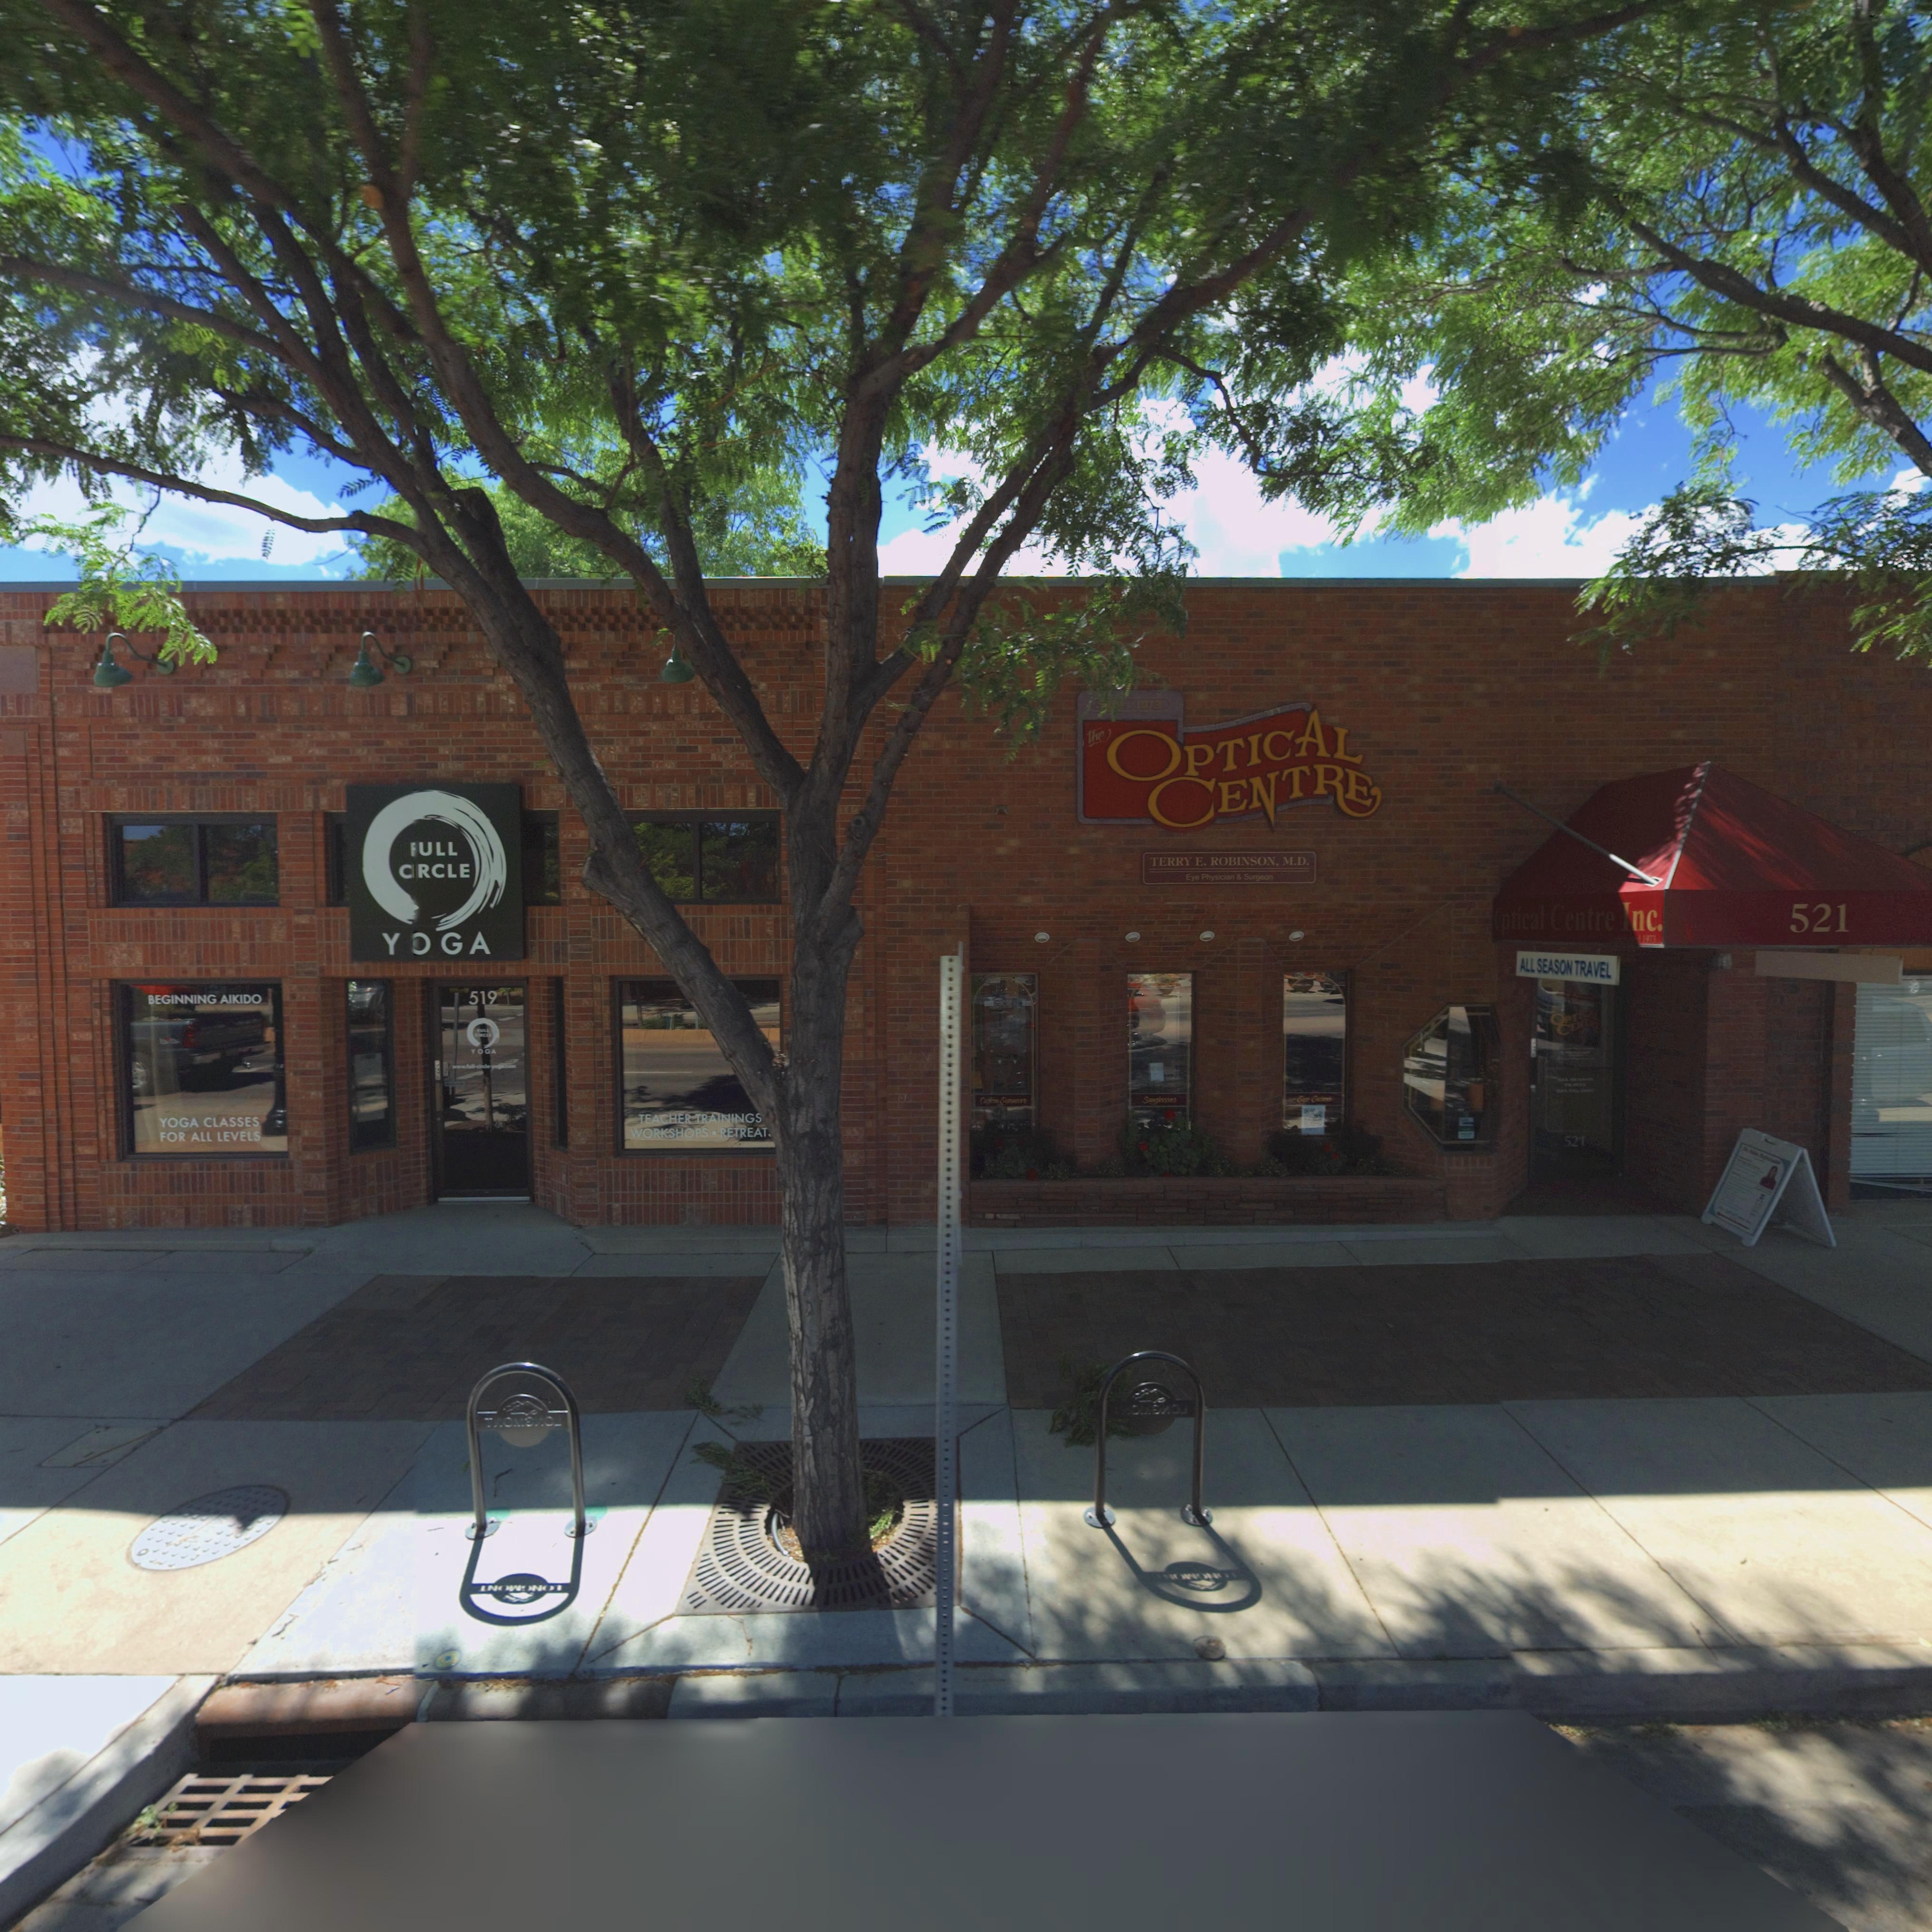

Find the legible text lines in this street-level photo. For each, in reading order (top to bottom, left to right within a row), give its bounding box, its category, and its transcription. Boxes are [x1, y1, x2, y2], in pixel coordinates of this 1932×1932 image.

[1087, 729, 1104, 744] BusinessName: the
[1105, 708, 1363, 783] BusinessName: OPTICAL
[1147, 763, 1374, 828] BusinessName: CENTRE
[410, 841, 458, 857] BusinessName: *ULL
[1150, 856, 1309, 867] BusinessName: TERRY E. ROBINSON, M.D.
[398, 863, 470, 879] BusinessName: C*RCLE
[1186, 873, 1273, 881] BusinessName: Eye Physician & Surgeon
[1494, 901, 1662, 937] BusinessName: *ptical Centre Inc.
[1788, 903, 1850, 933] StreetNumber: 521
[381, 931, 491, 956] BusinessName: Y*GA
[468, 990, 497, 1005] StreetNumber: 519
[1550, 1010, 1598, 1025] BusinessName: OP*****
[474, 1033, 491, 1037] BusinessName: ***CL*
[477, 1028, 489, 1032] BusinessName: *ULL
[1556, 1018, 1600, 1035] BusinessName: CE****
[470, 1048, 496, 1054] BusinessName: YOGA
[1565, 1135, 1584, 1147] StreetNumber: 521